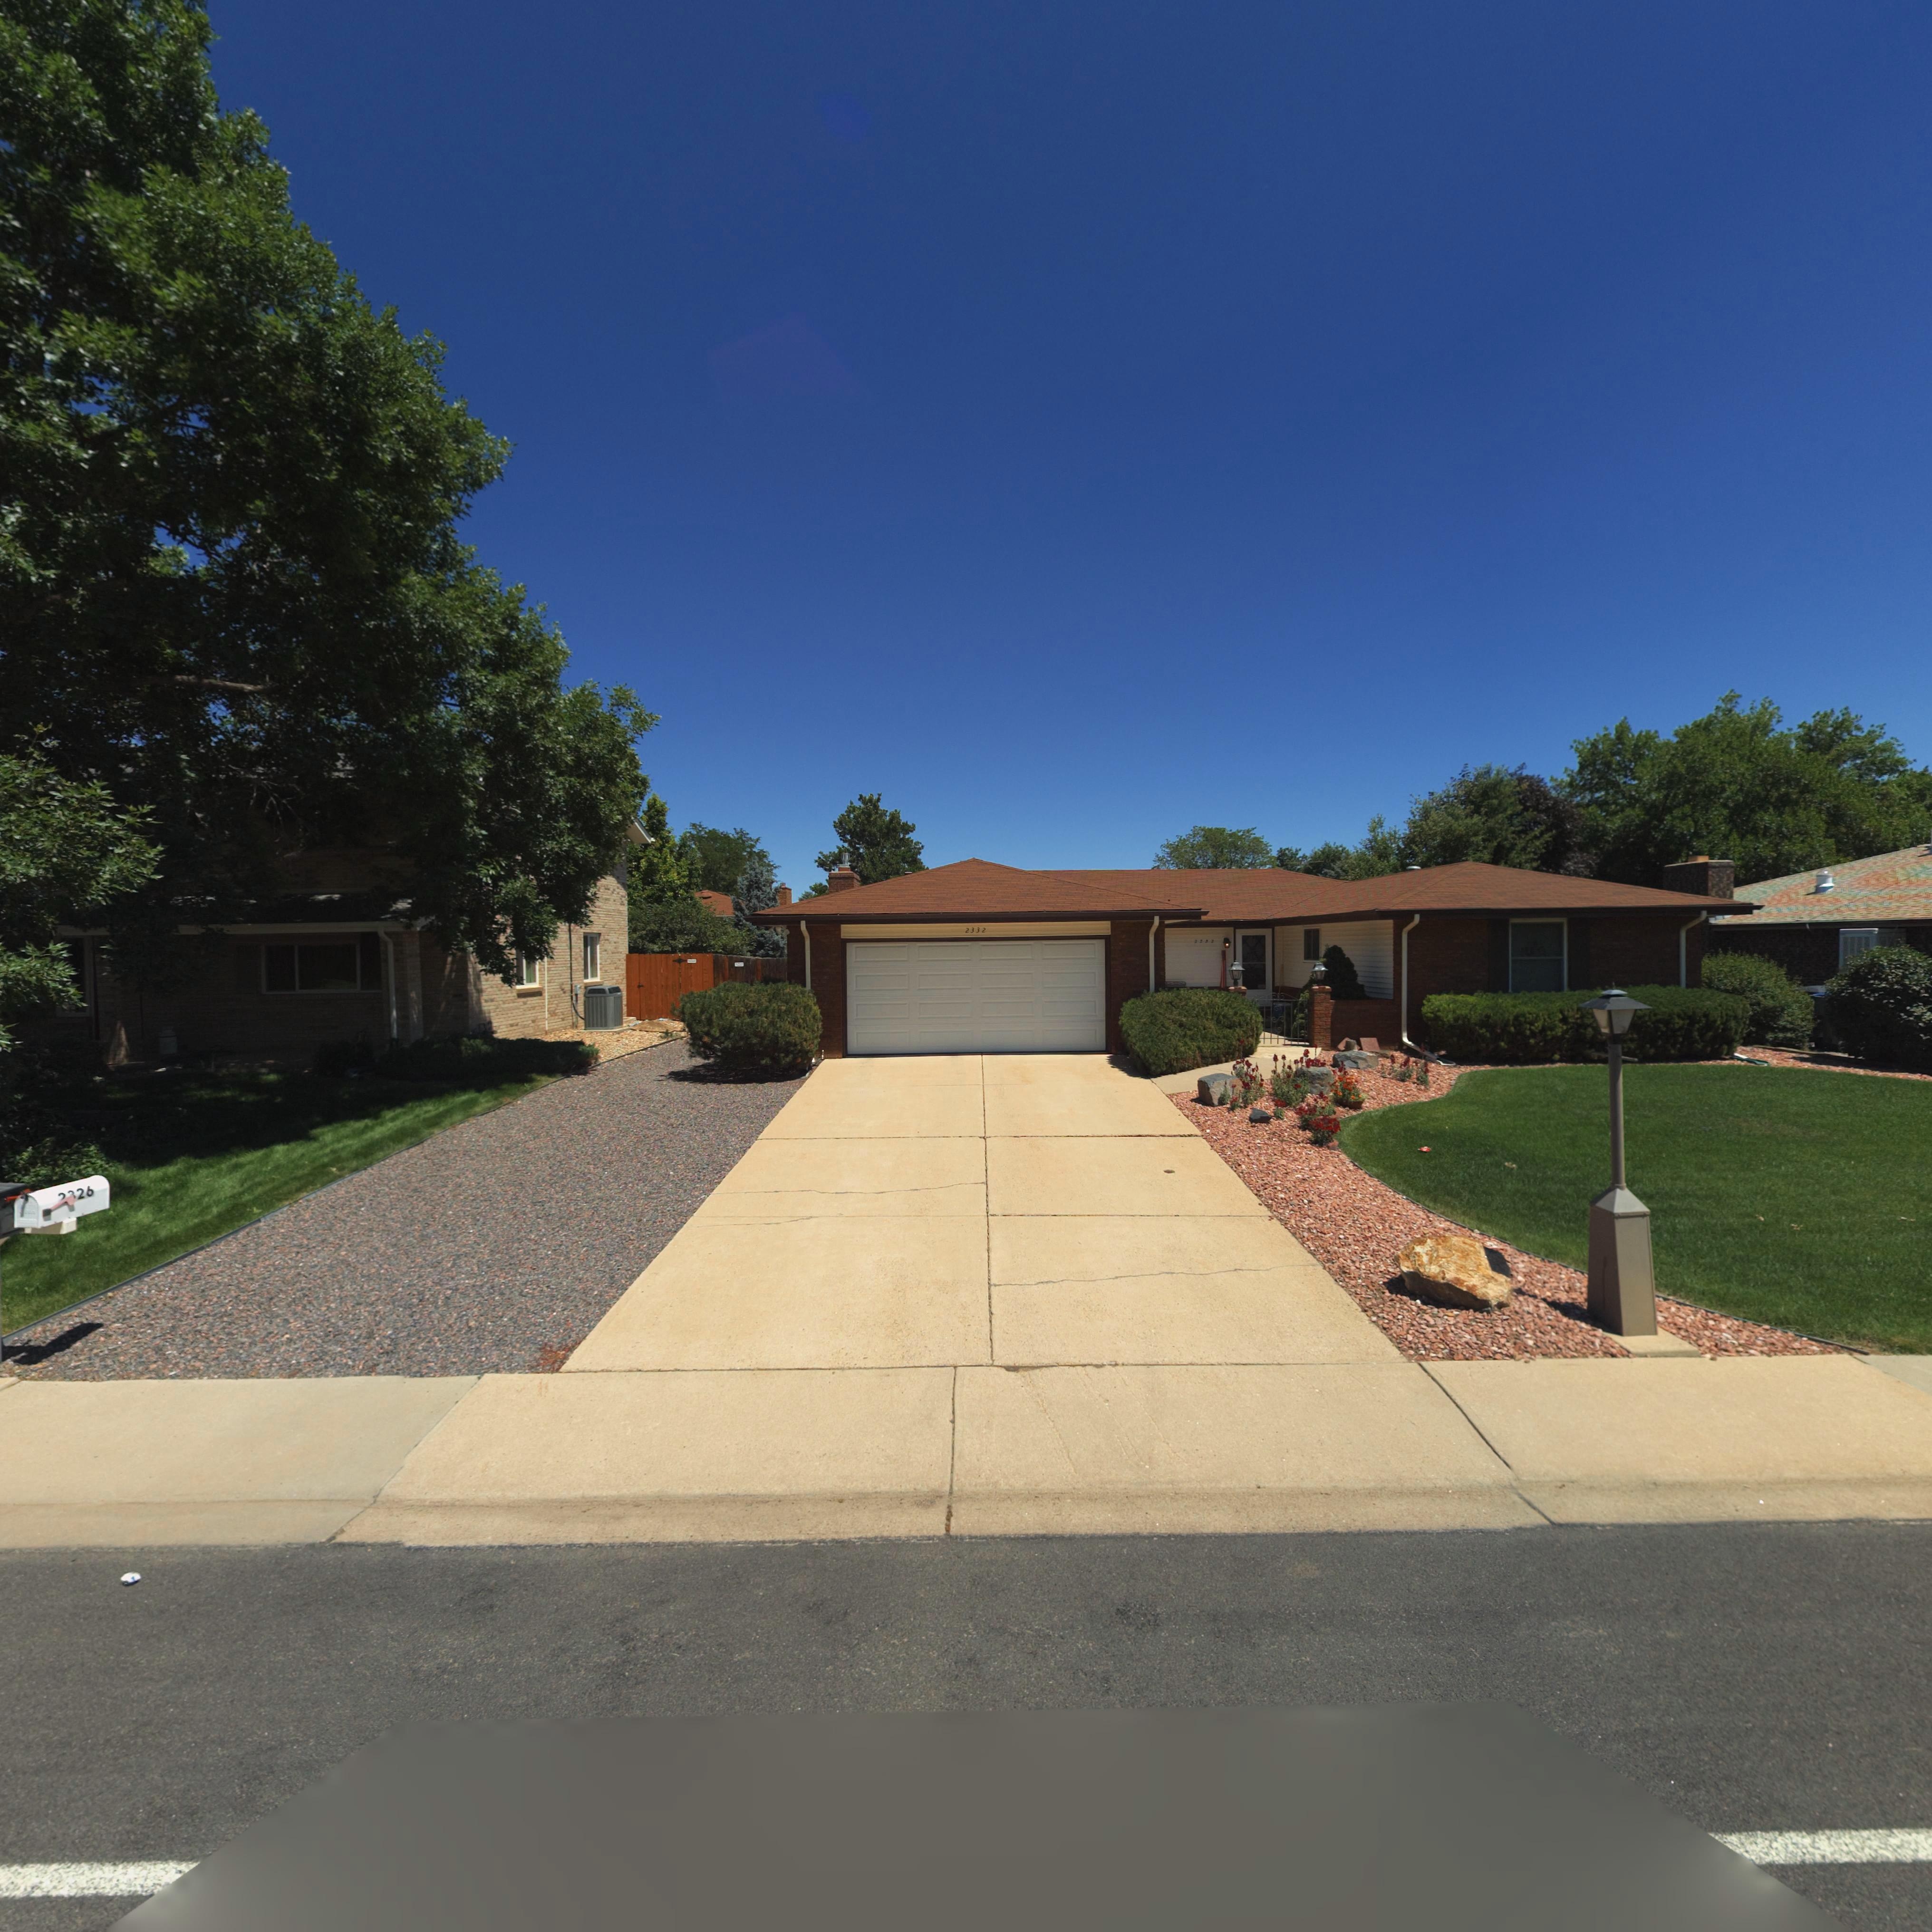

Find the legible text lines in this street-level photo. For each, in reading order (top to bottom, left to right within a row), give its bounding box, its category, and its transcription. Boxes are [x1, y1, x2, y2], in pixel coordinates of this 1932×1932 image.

[965, 927, 985, 933] StreetNumber: 2332
[1194, 939, 1214, 943] StreetNumber: *332
[58, 1185, 94, 1204] StreetNumber: **26